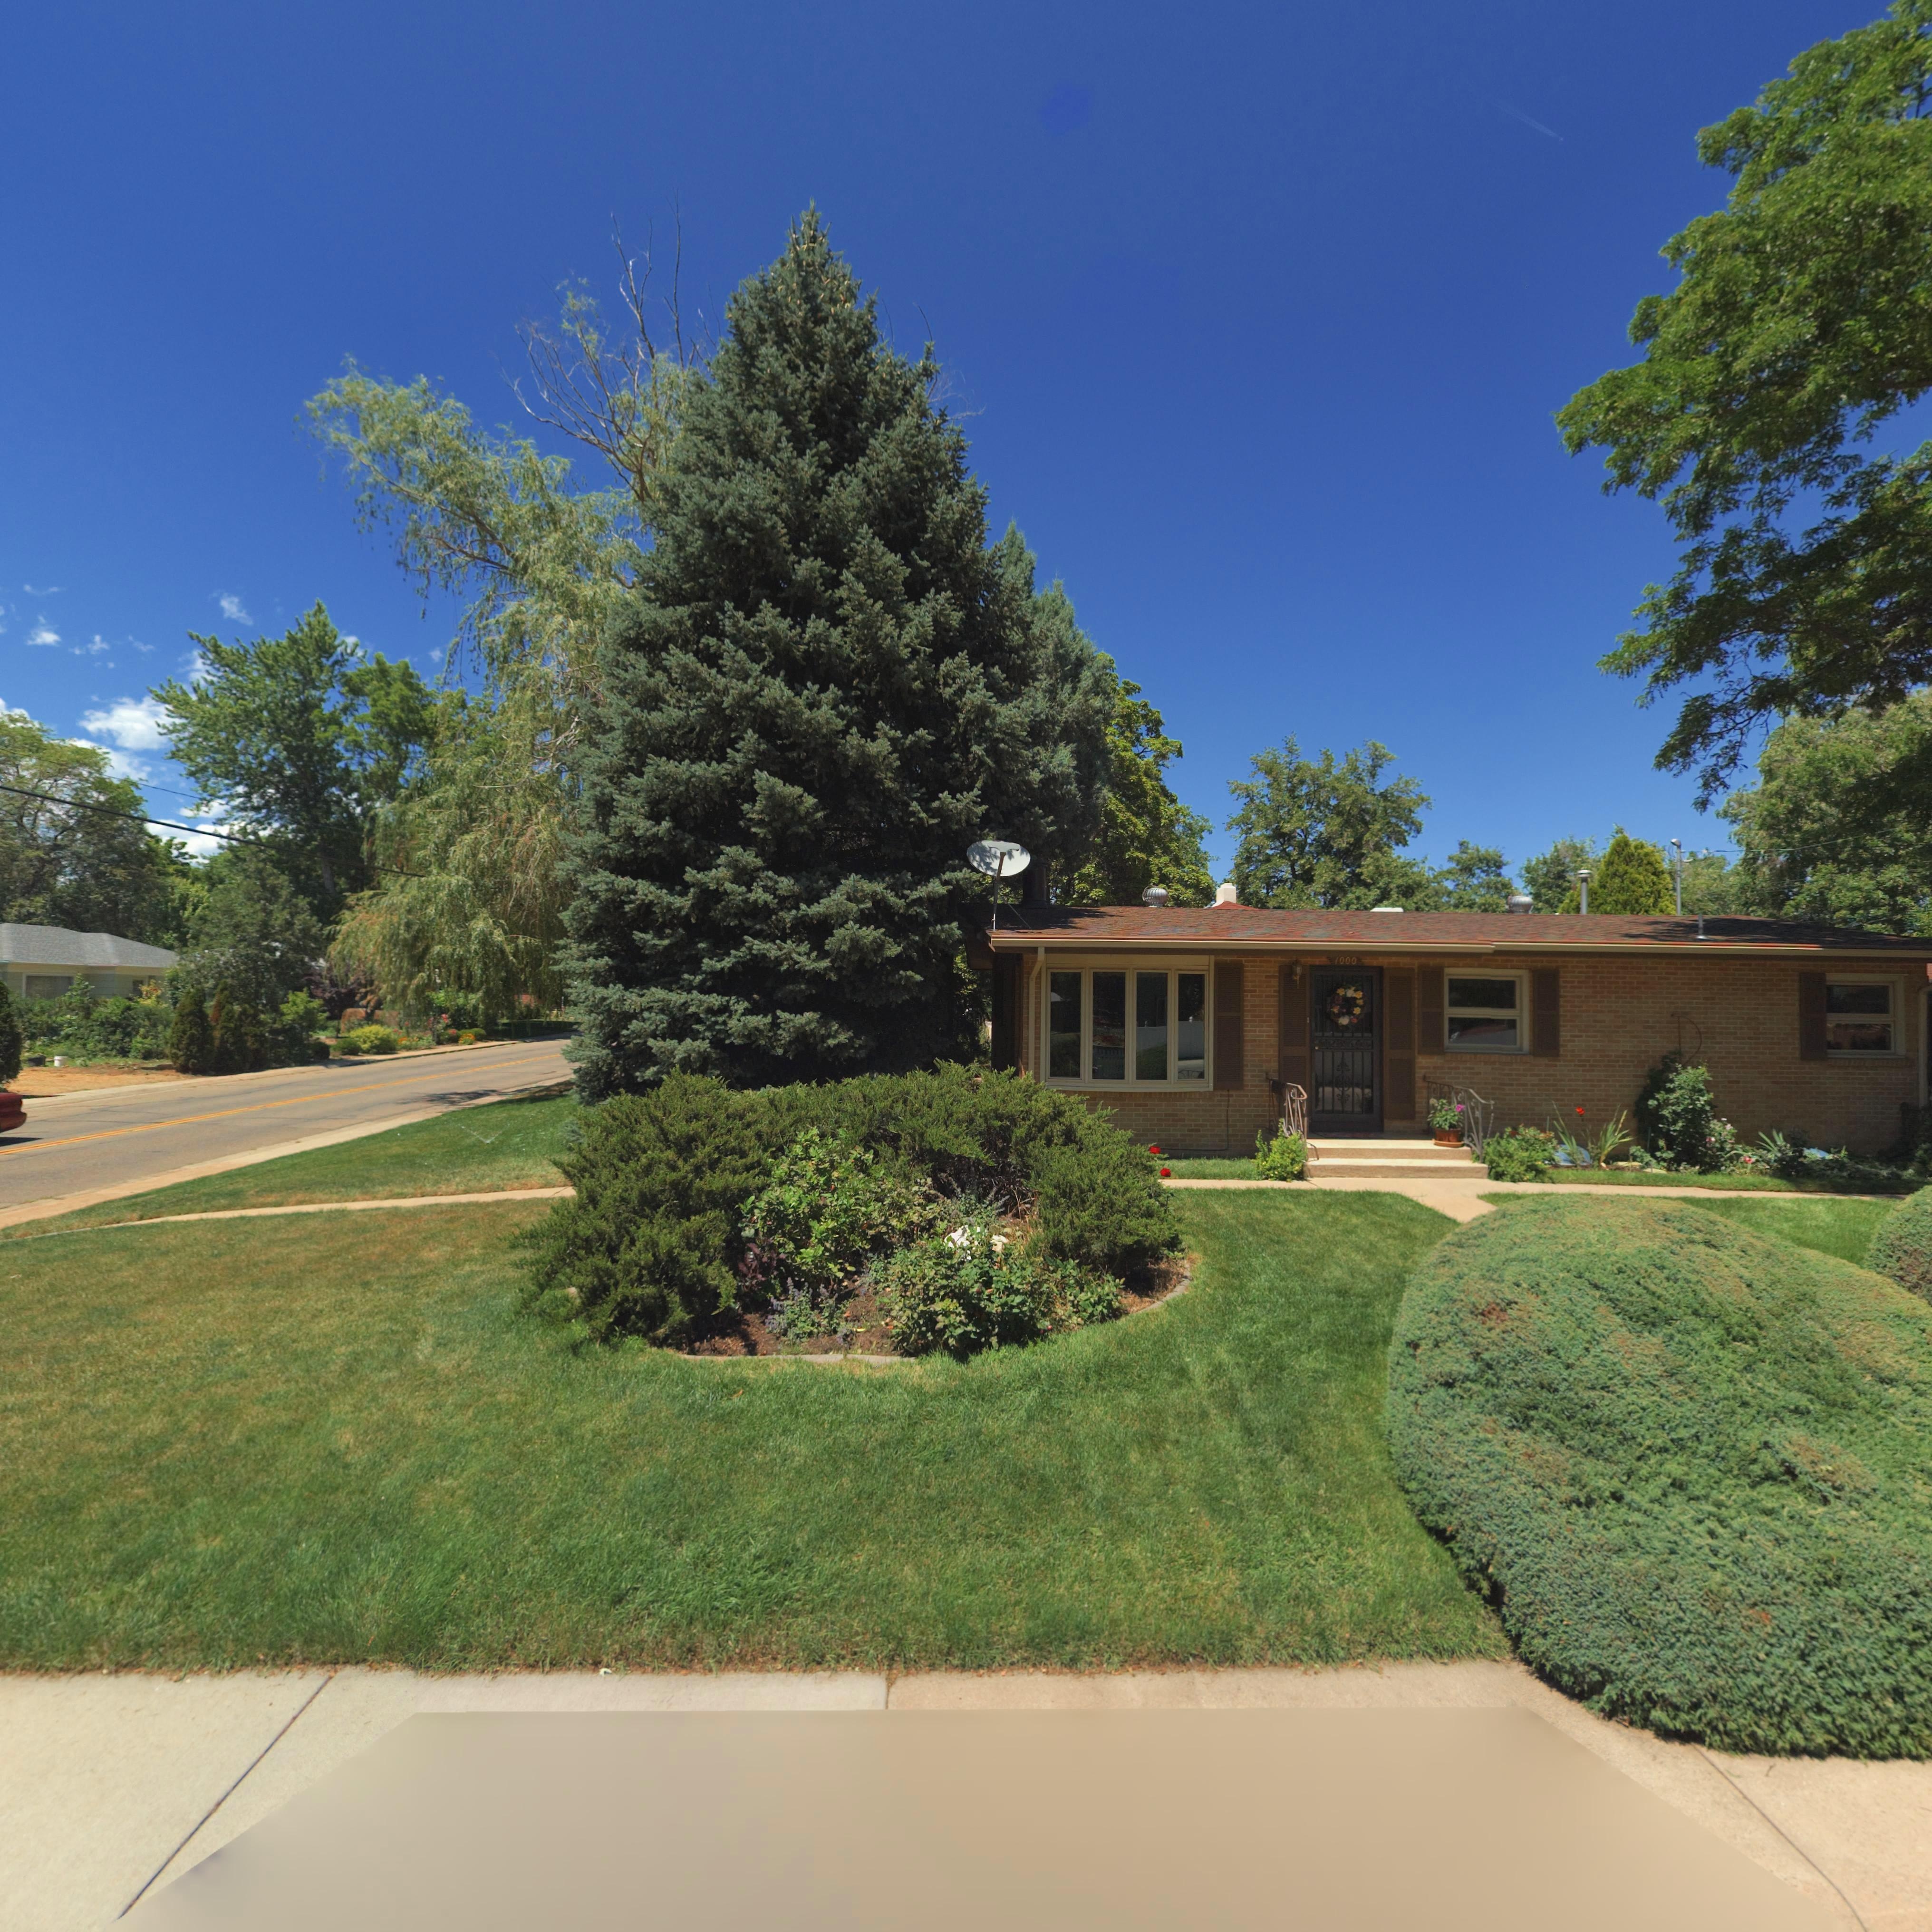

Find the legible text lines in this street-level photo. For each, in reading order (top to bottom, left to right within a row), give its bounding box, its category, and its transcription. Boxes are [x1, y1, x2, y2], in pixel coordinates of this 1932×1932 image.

[1334, 956, 1357, 964] StreetNumber: 1000